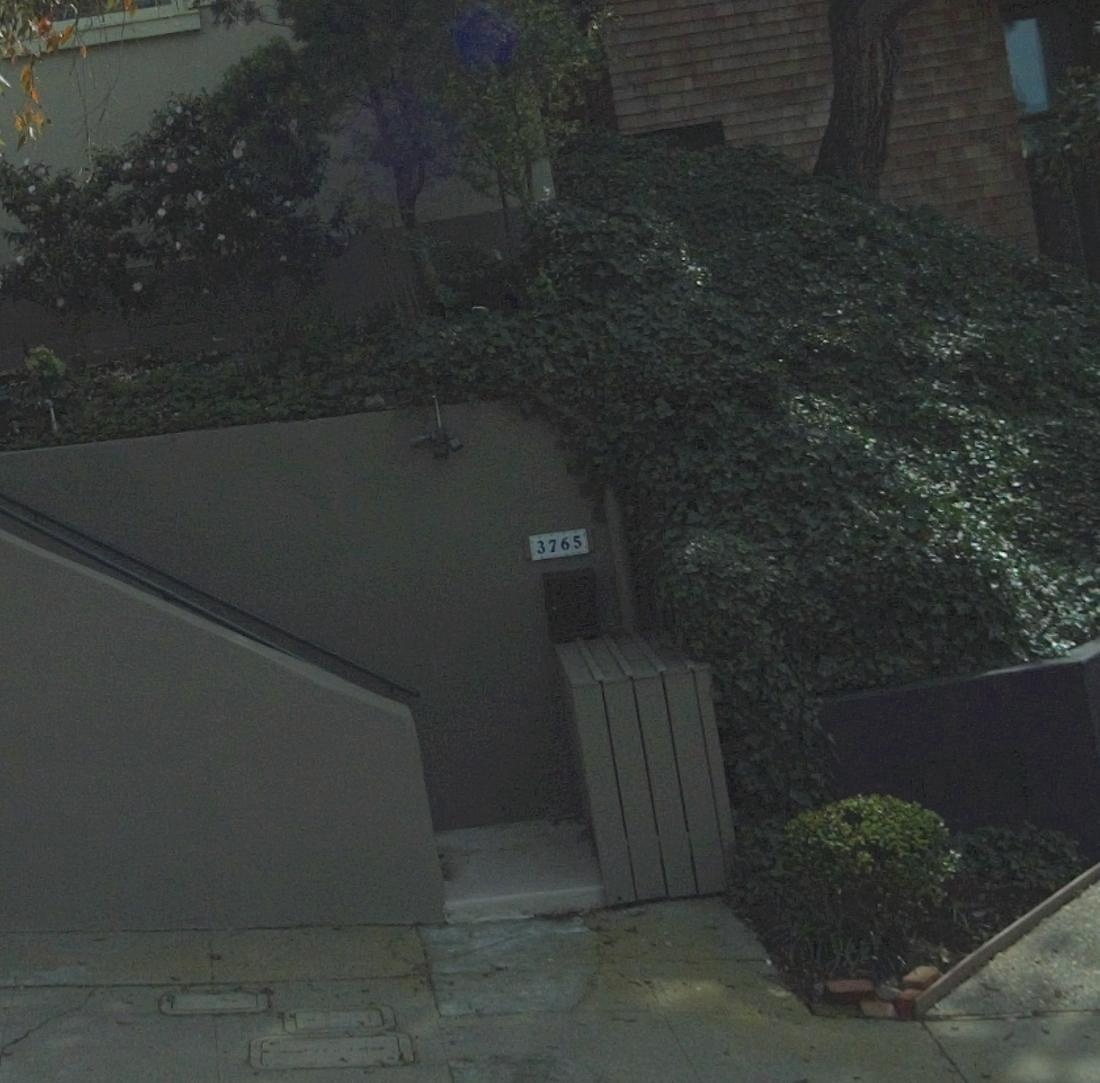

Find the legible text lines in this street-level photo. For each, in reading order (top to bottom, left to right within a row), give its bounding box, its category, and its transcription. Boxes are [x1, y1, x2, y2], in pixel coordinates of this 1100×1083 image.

[535, 534, 582, 556] StreetNumber: 3765